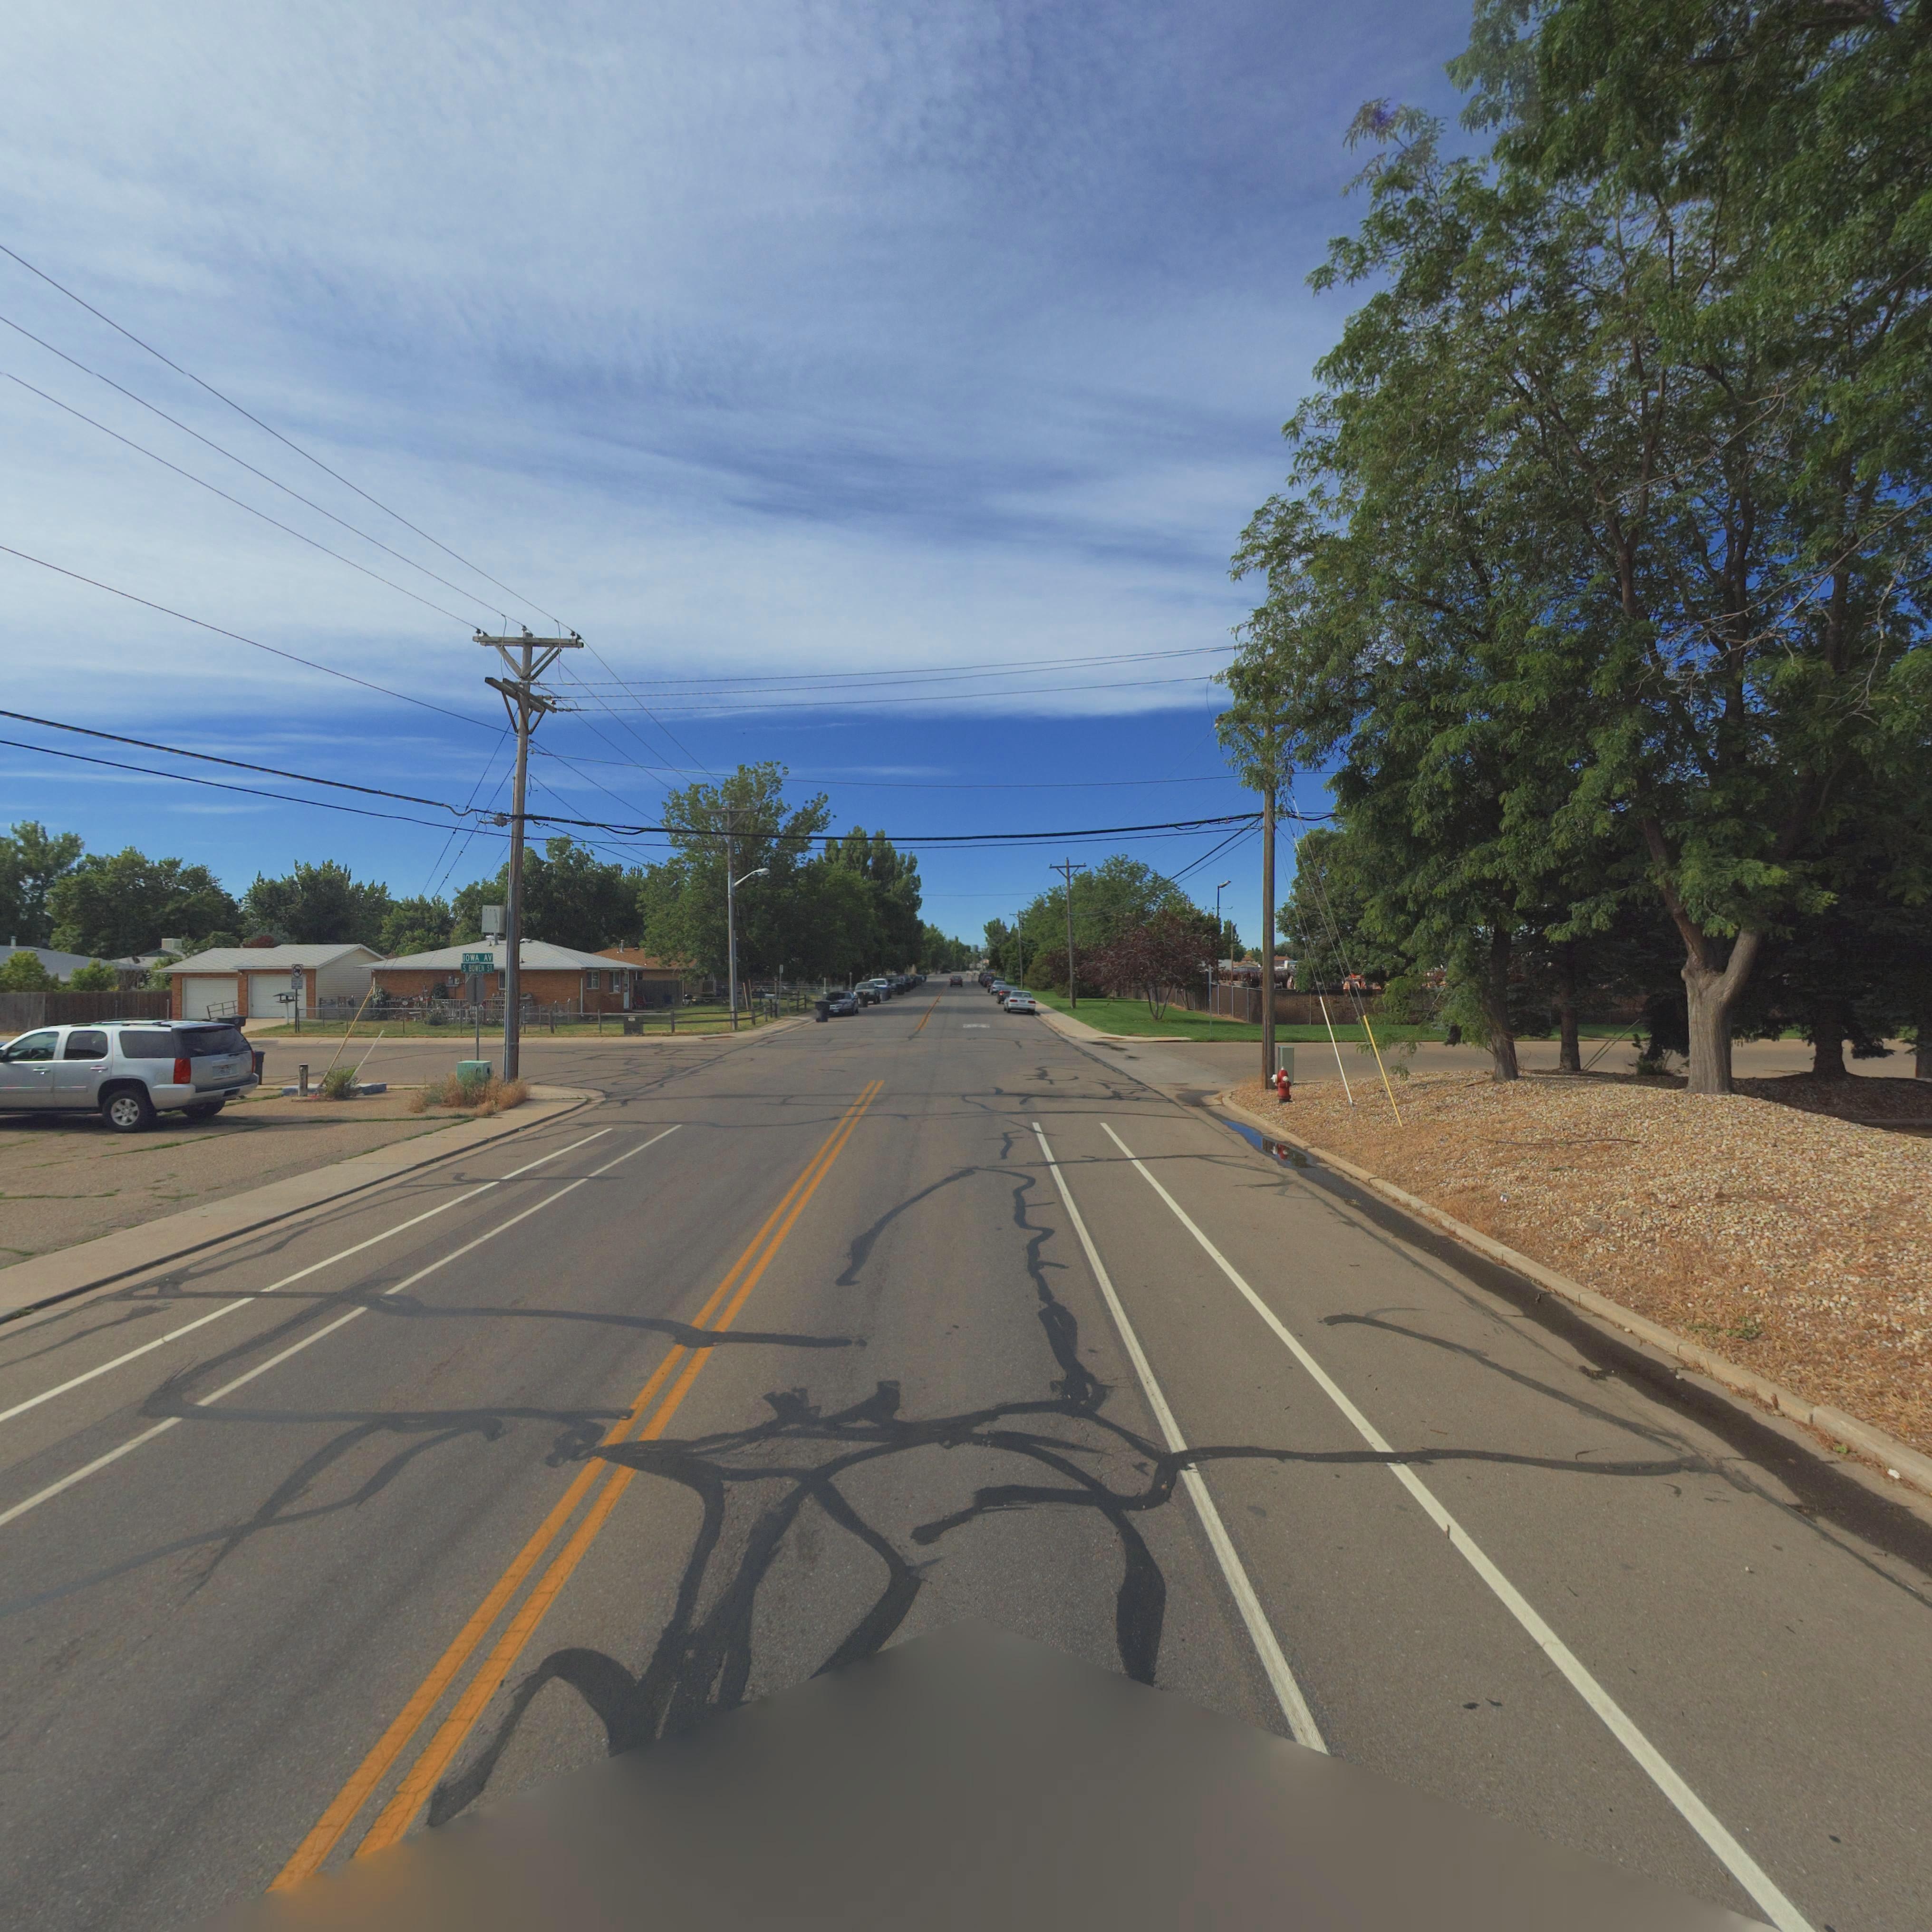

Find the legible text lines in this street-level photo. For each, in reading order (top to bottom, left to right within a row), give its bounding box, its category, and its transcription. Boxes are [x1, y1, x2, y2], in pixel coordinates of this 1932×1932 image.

[463, 954, 493, 962] StreetName: IOWA AV